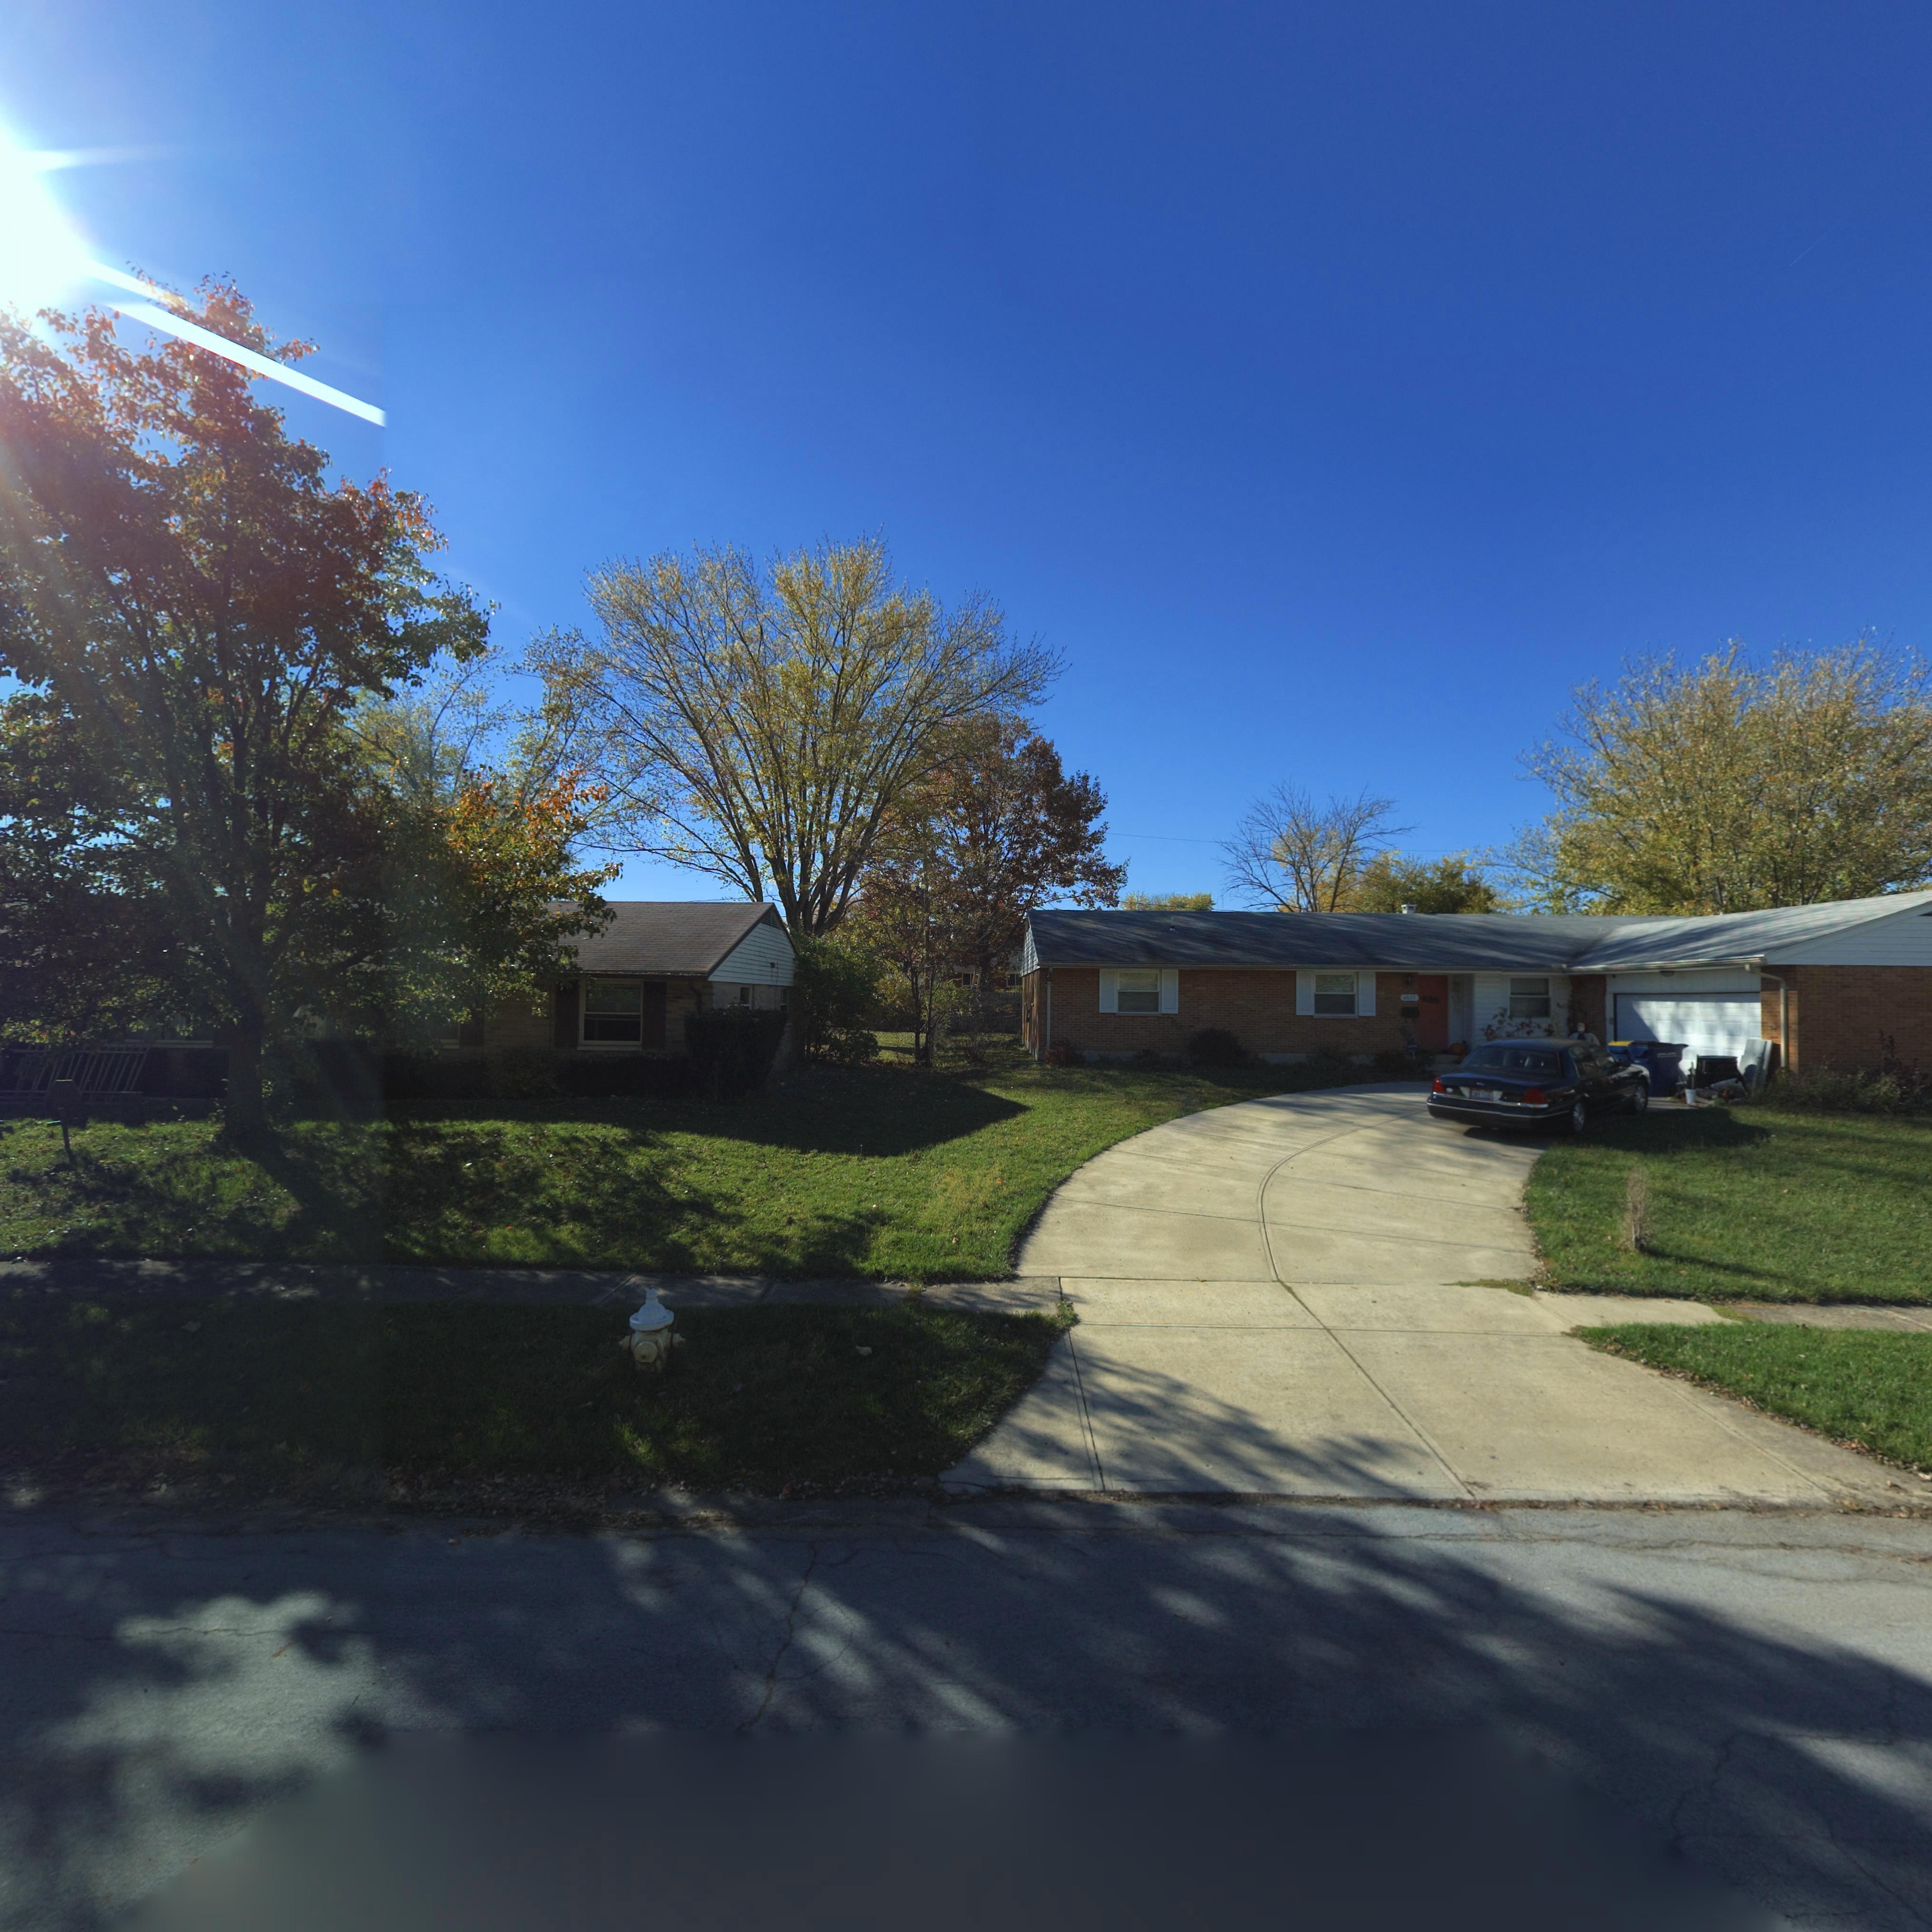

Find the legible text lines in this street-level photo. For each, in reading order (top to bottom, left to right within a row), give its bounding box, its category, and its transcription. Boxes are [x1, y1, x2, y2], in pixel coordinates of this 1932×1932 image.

[1402, 995, 1416, 1001] StreetNumber: 682*